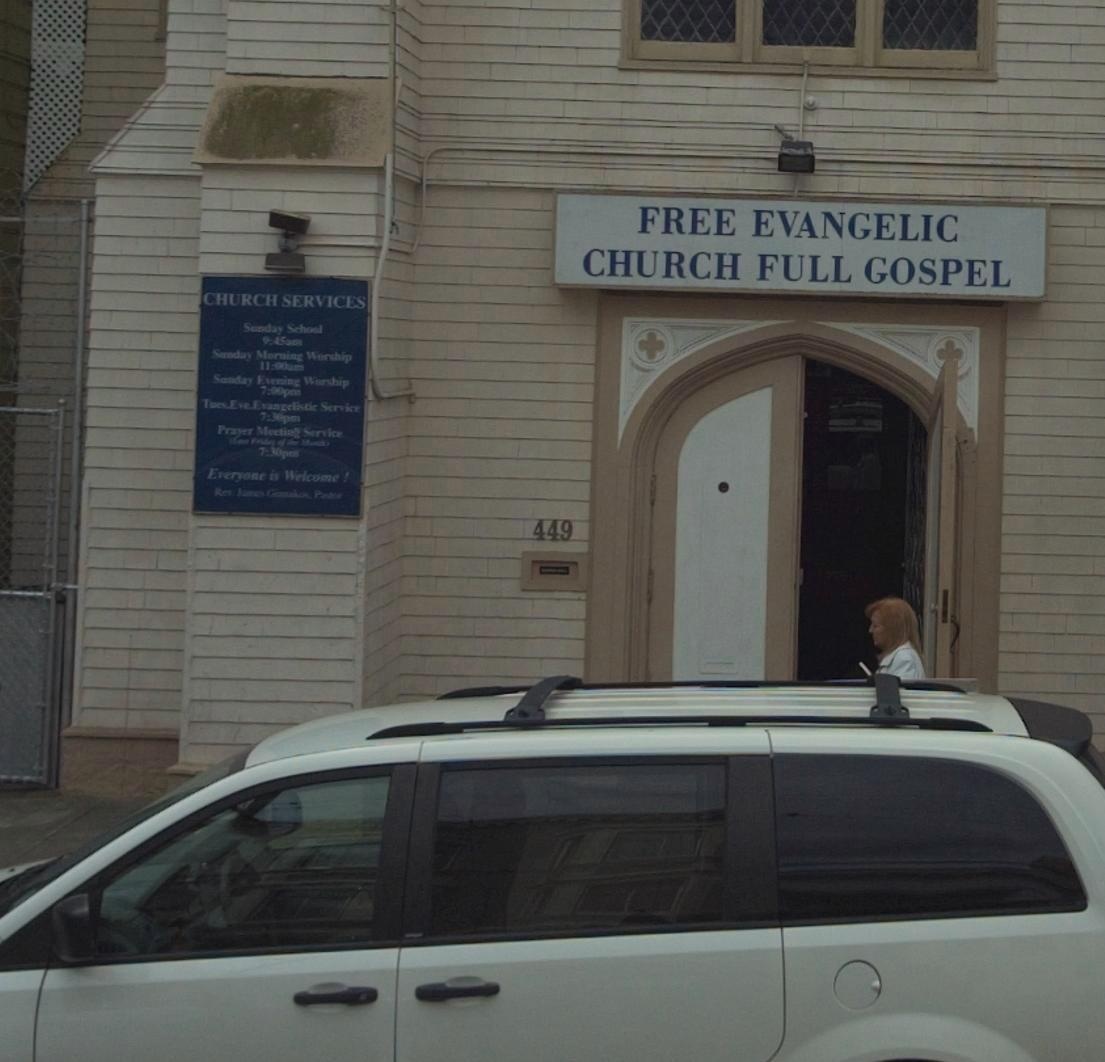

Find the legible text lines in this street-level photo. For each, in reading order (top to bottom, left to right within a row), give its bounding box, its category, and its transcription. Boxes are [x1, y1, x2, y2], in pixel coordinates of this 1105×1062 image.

[634, 203, 962, 246] BusinessName: FREE EVANGELIC
[579, 244, 1016, 291] BusinessName: CHURCH FULL GOSPEL
[200, 288, 370, 313] None: CHURCH SERVICES
[531, 517, 575, 544] StreetNumber: 449